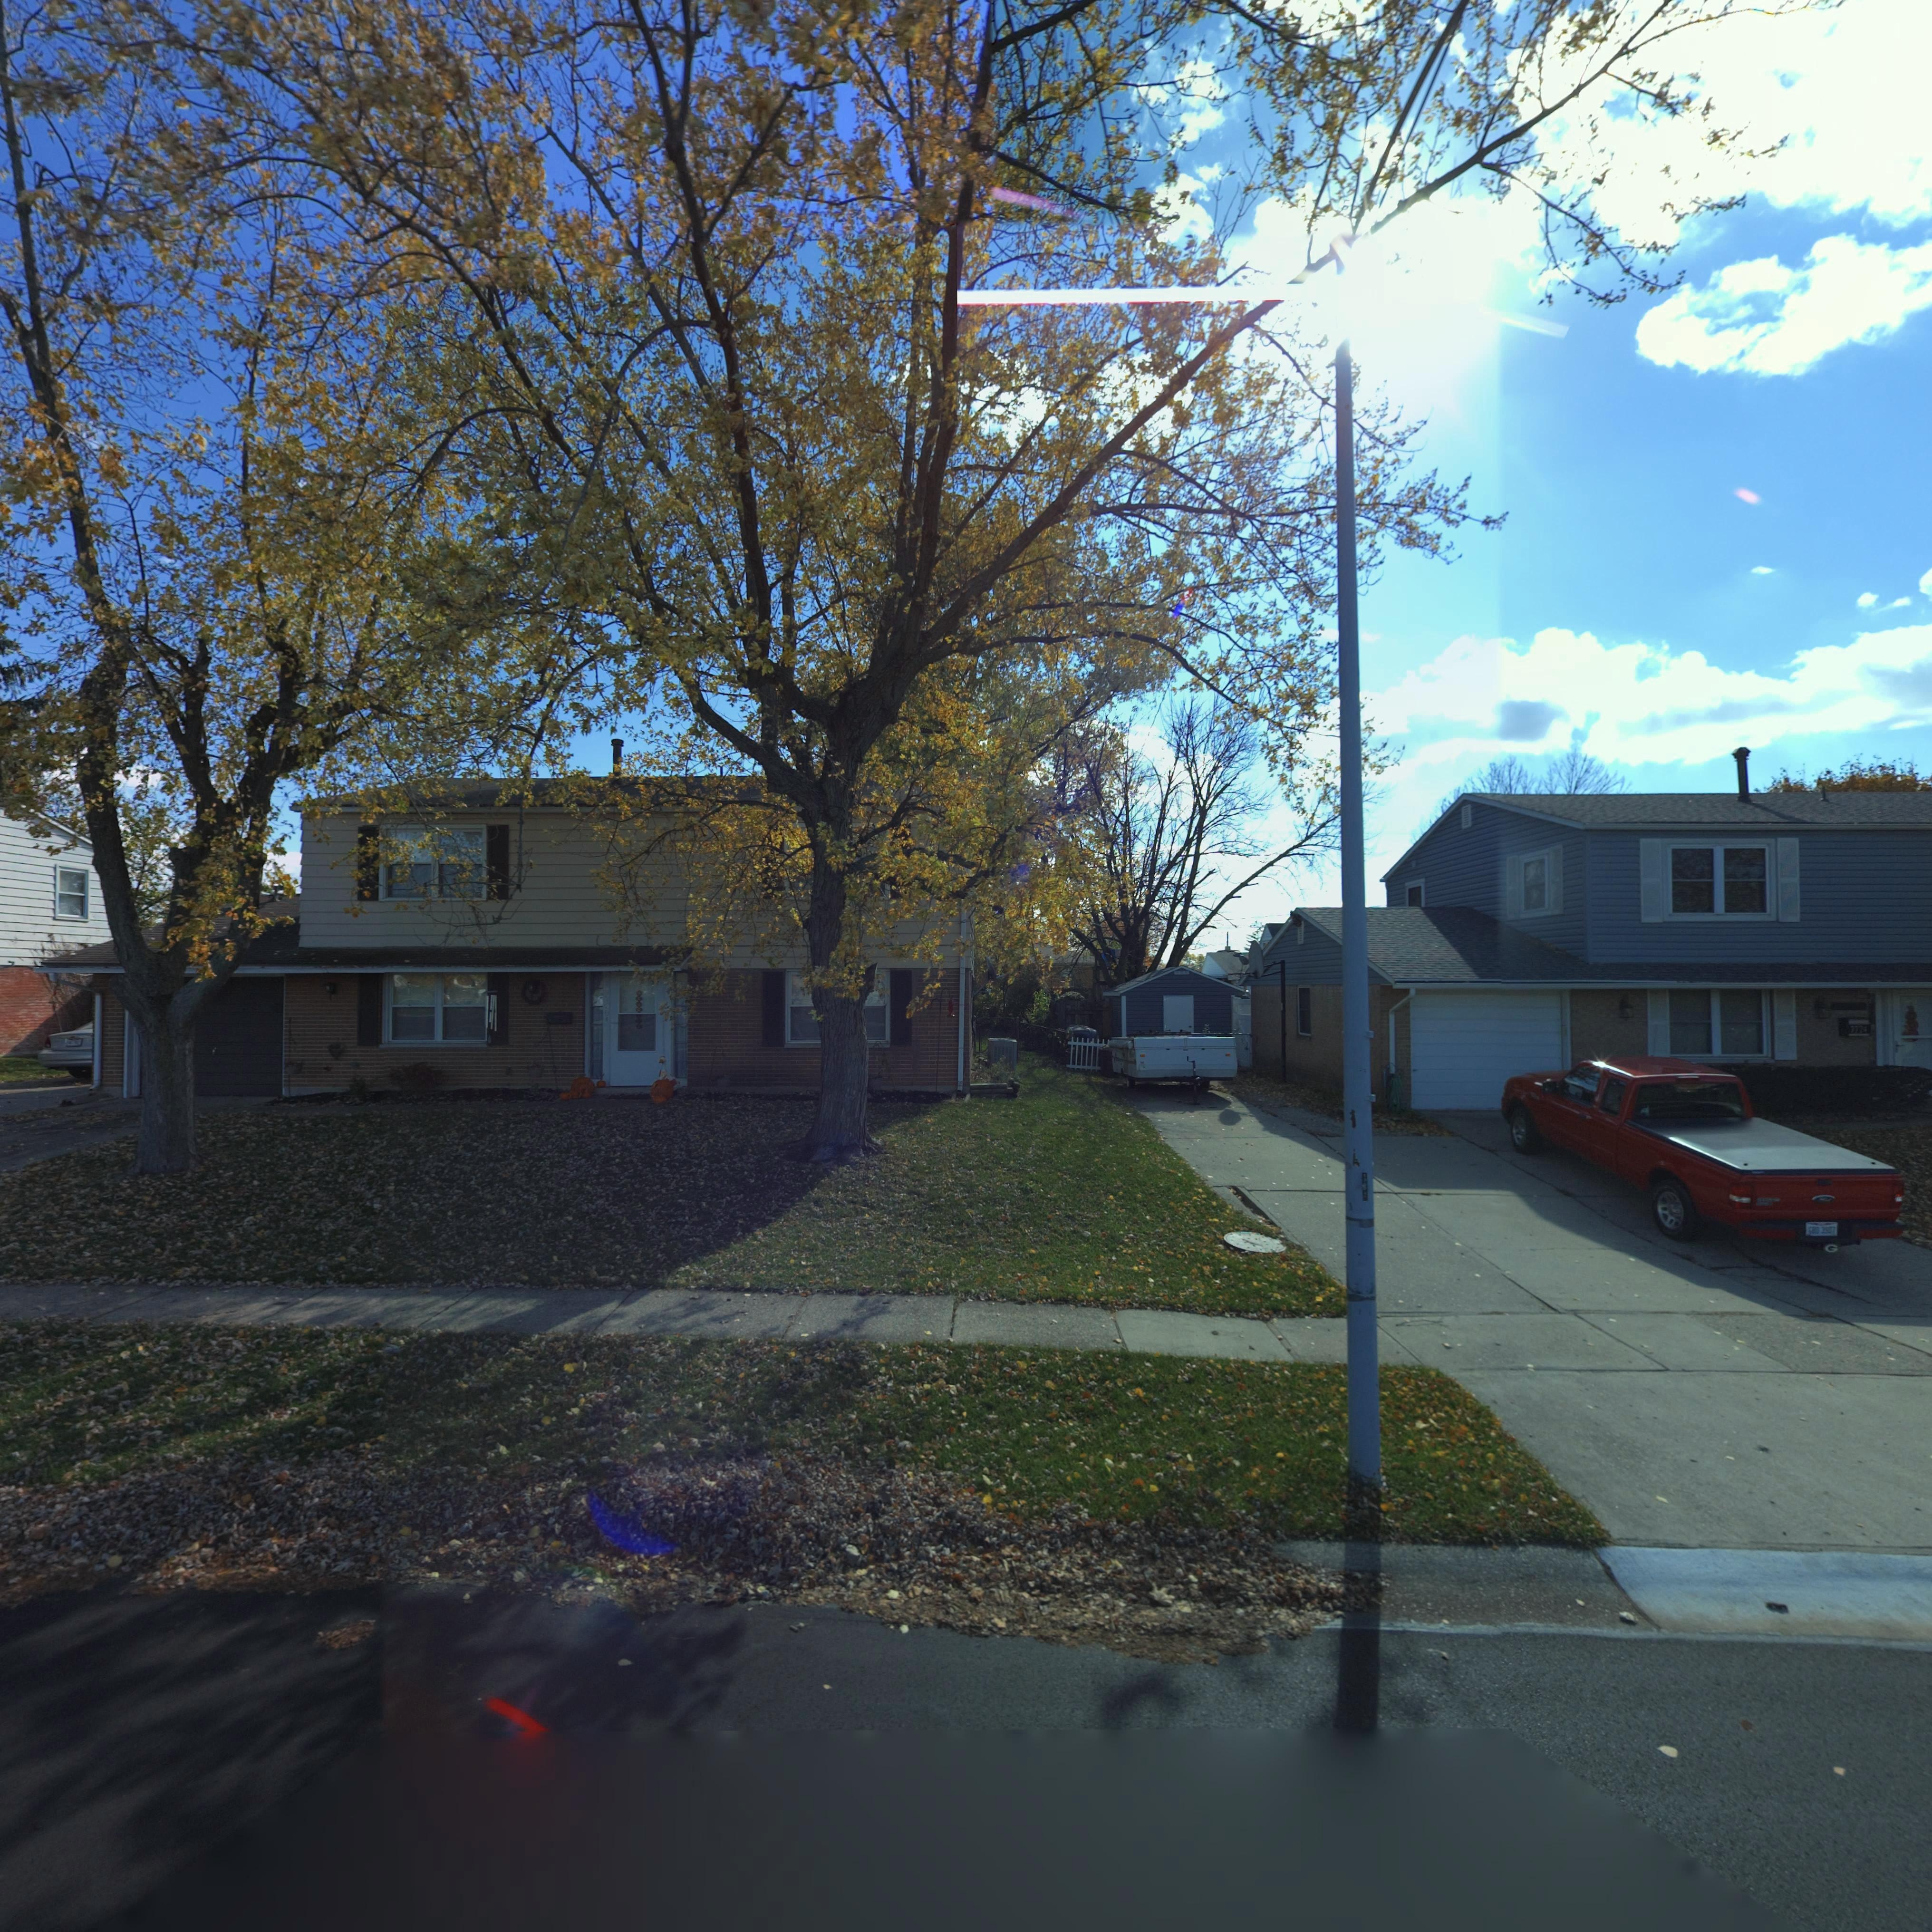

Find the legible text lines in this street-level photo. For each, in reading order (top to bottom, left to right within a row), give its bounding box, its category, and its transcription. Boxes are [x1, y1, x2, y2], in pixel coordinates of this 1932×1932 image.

[603, 988, 610, 1017] StreetNumber: 7730
[1850, 1025, 1868, 1034] StreetNumber: 7724